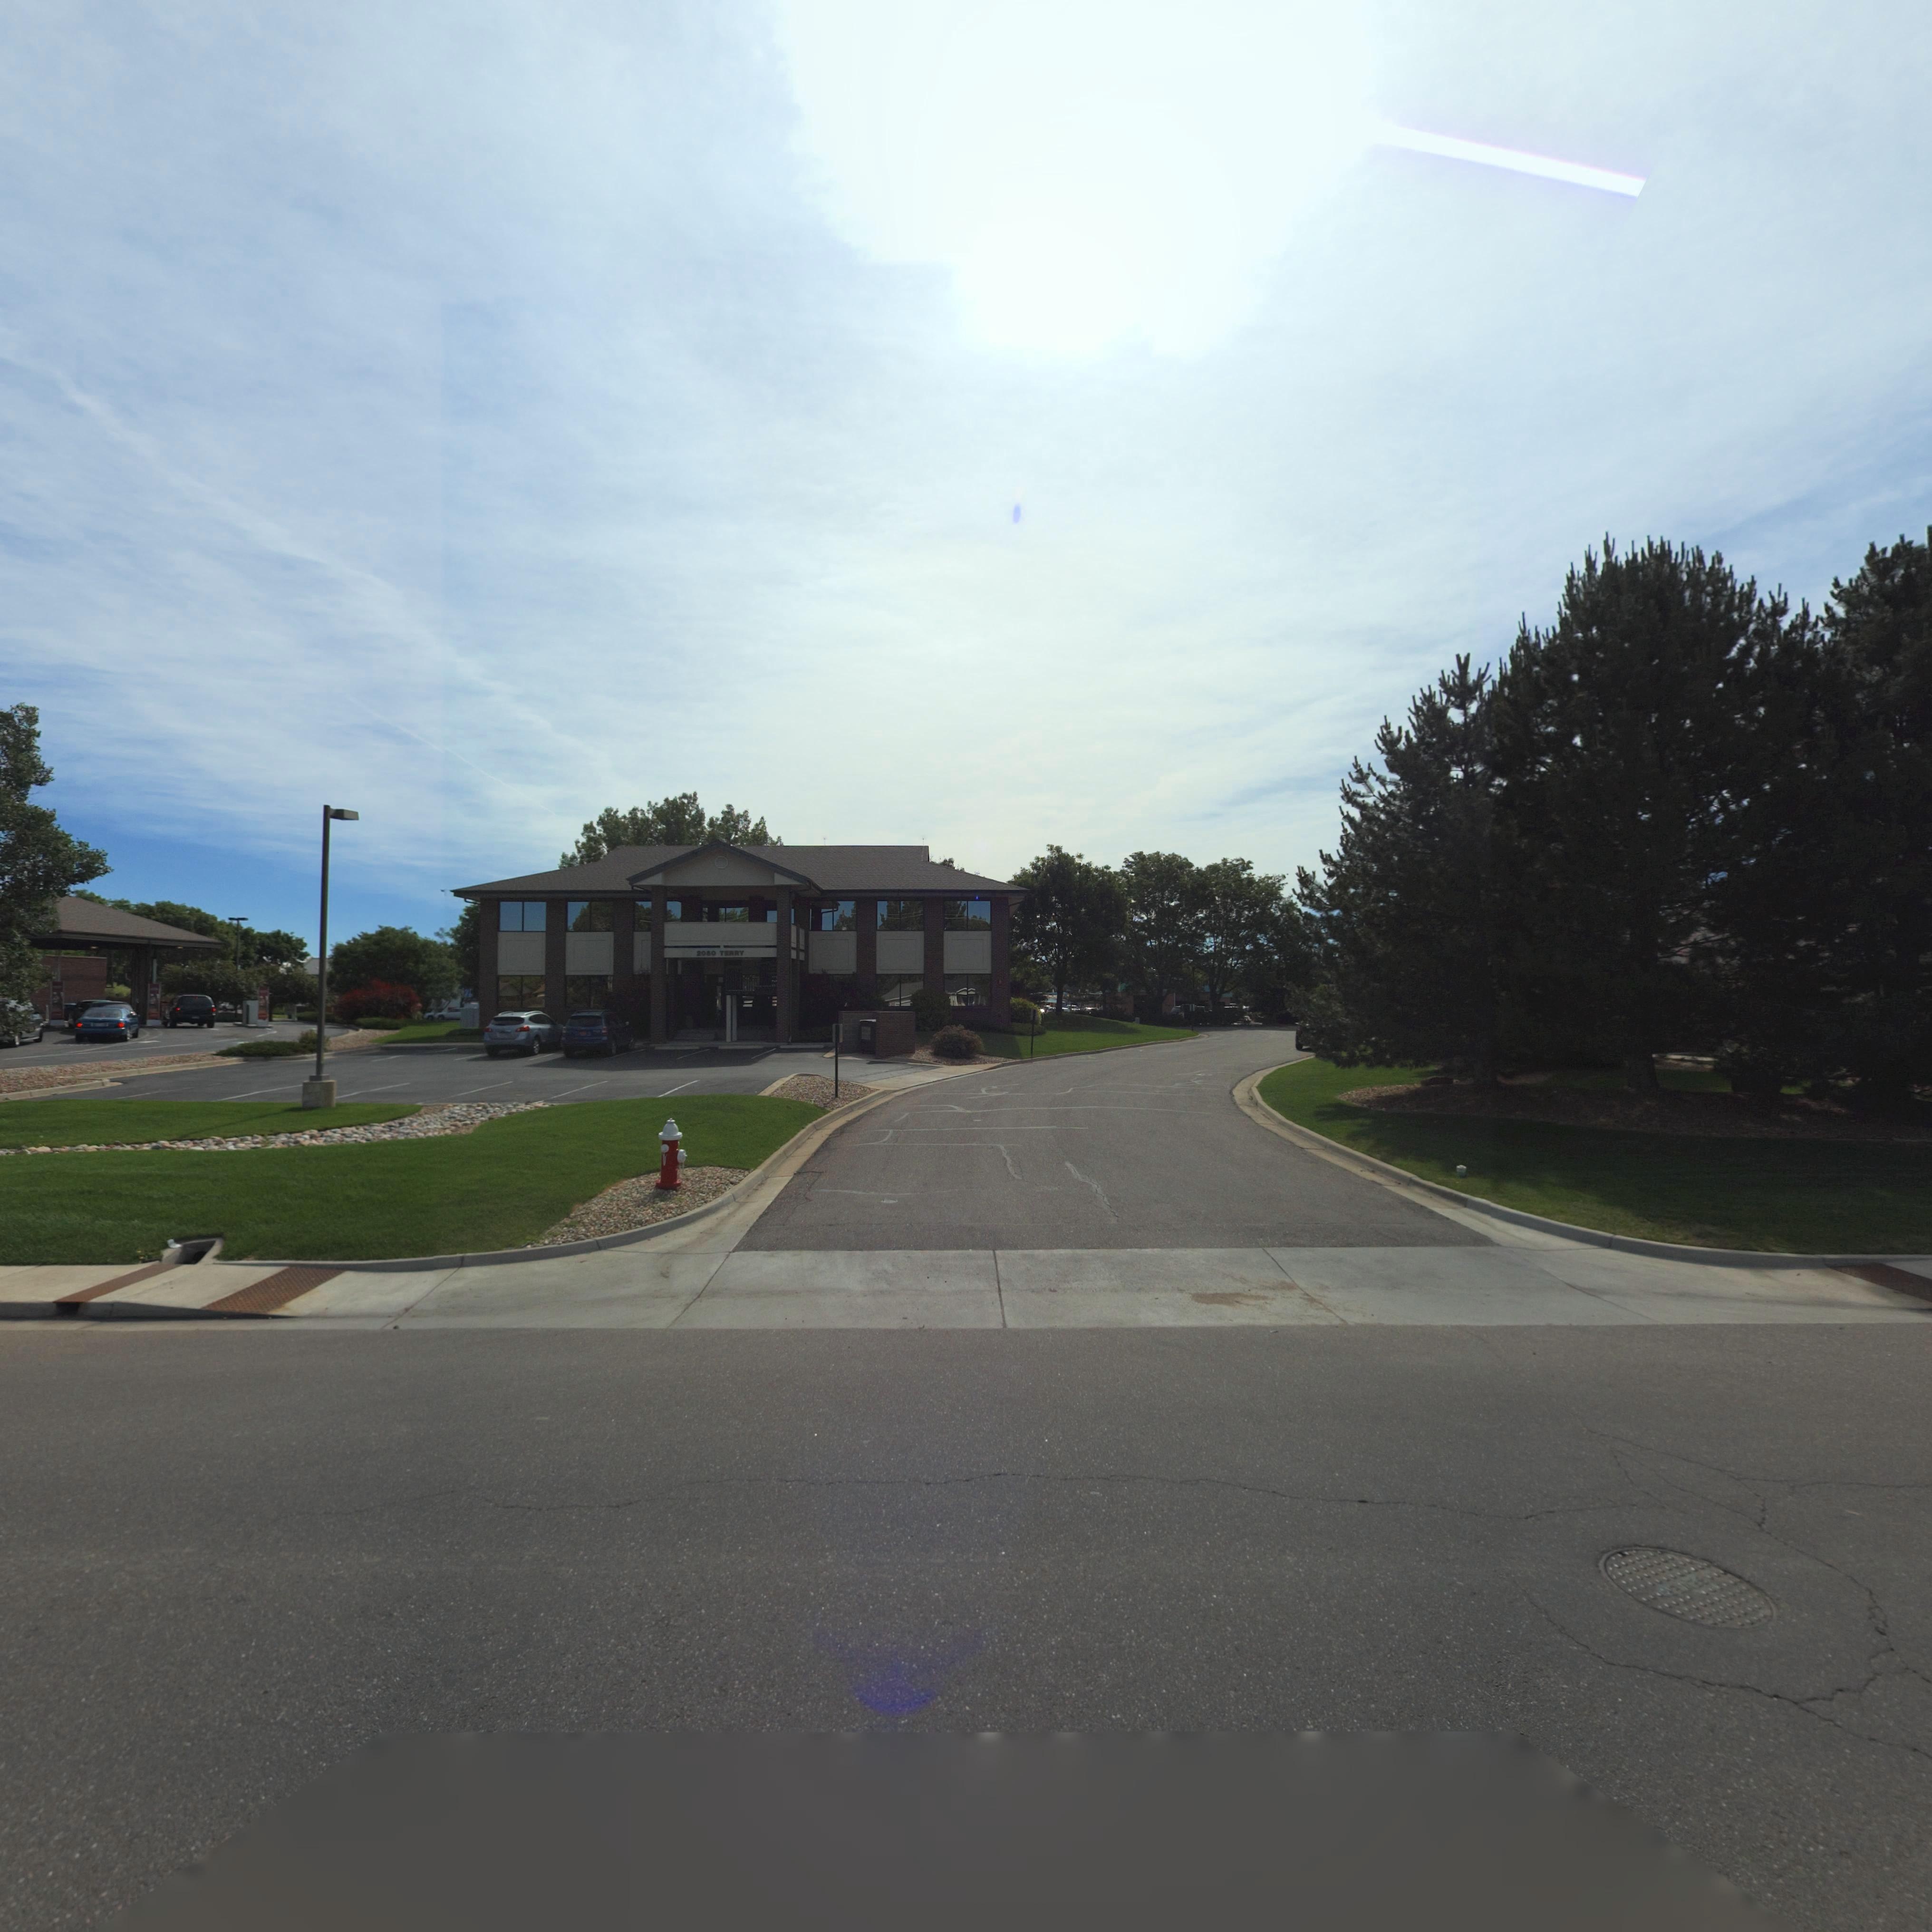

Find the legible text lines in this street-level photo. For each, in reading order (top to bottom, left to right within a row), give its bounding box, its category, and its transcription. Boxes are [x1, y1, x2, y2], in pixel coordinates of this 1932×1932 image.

[696, 950, 716, 956] StreetNumber: 2050
[719, 950, 744, 956] StreetName: TERRY